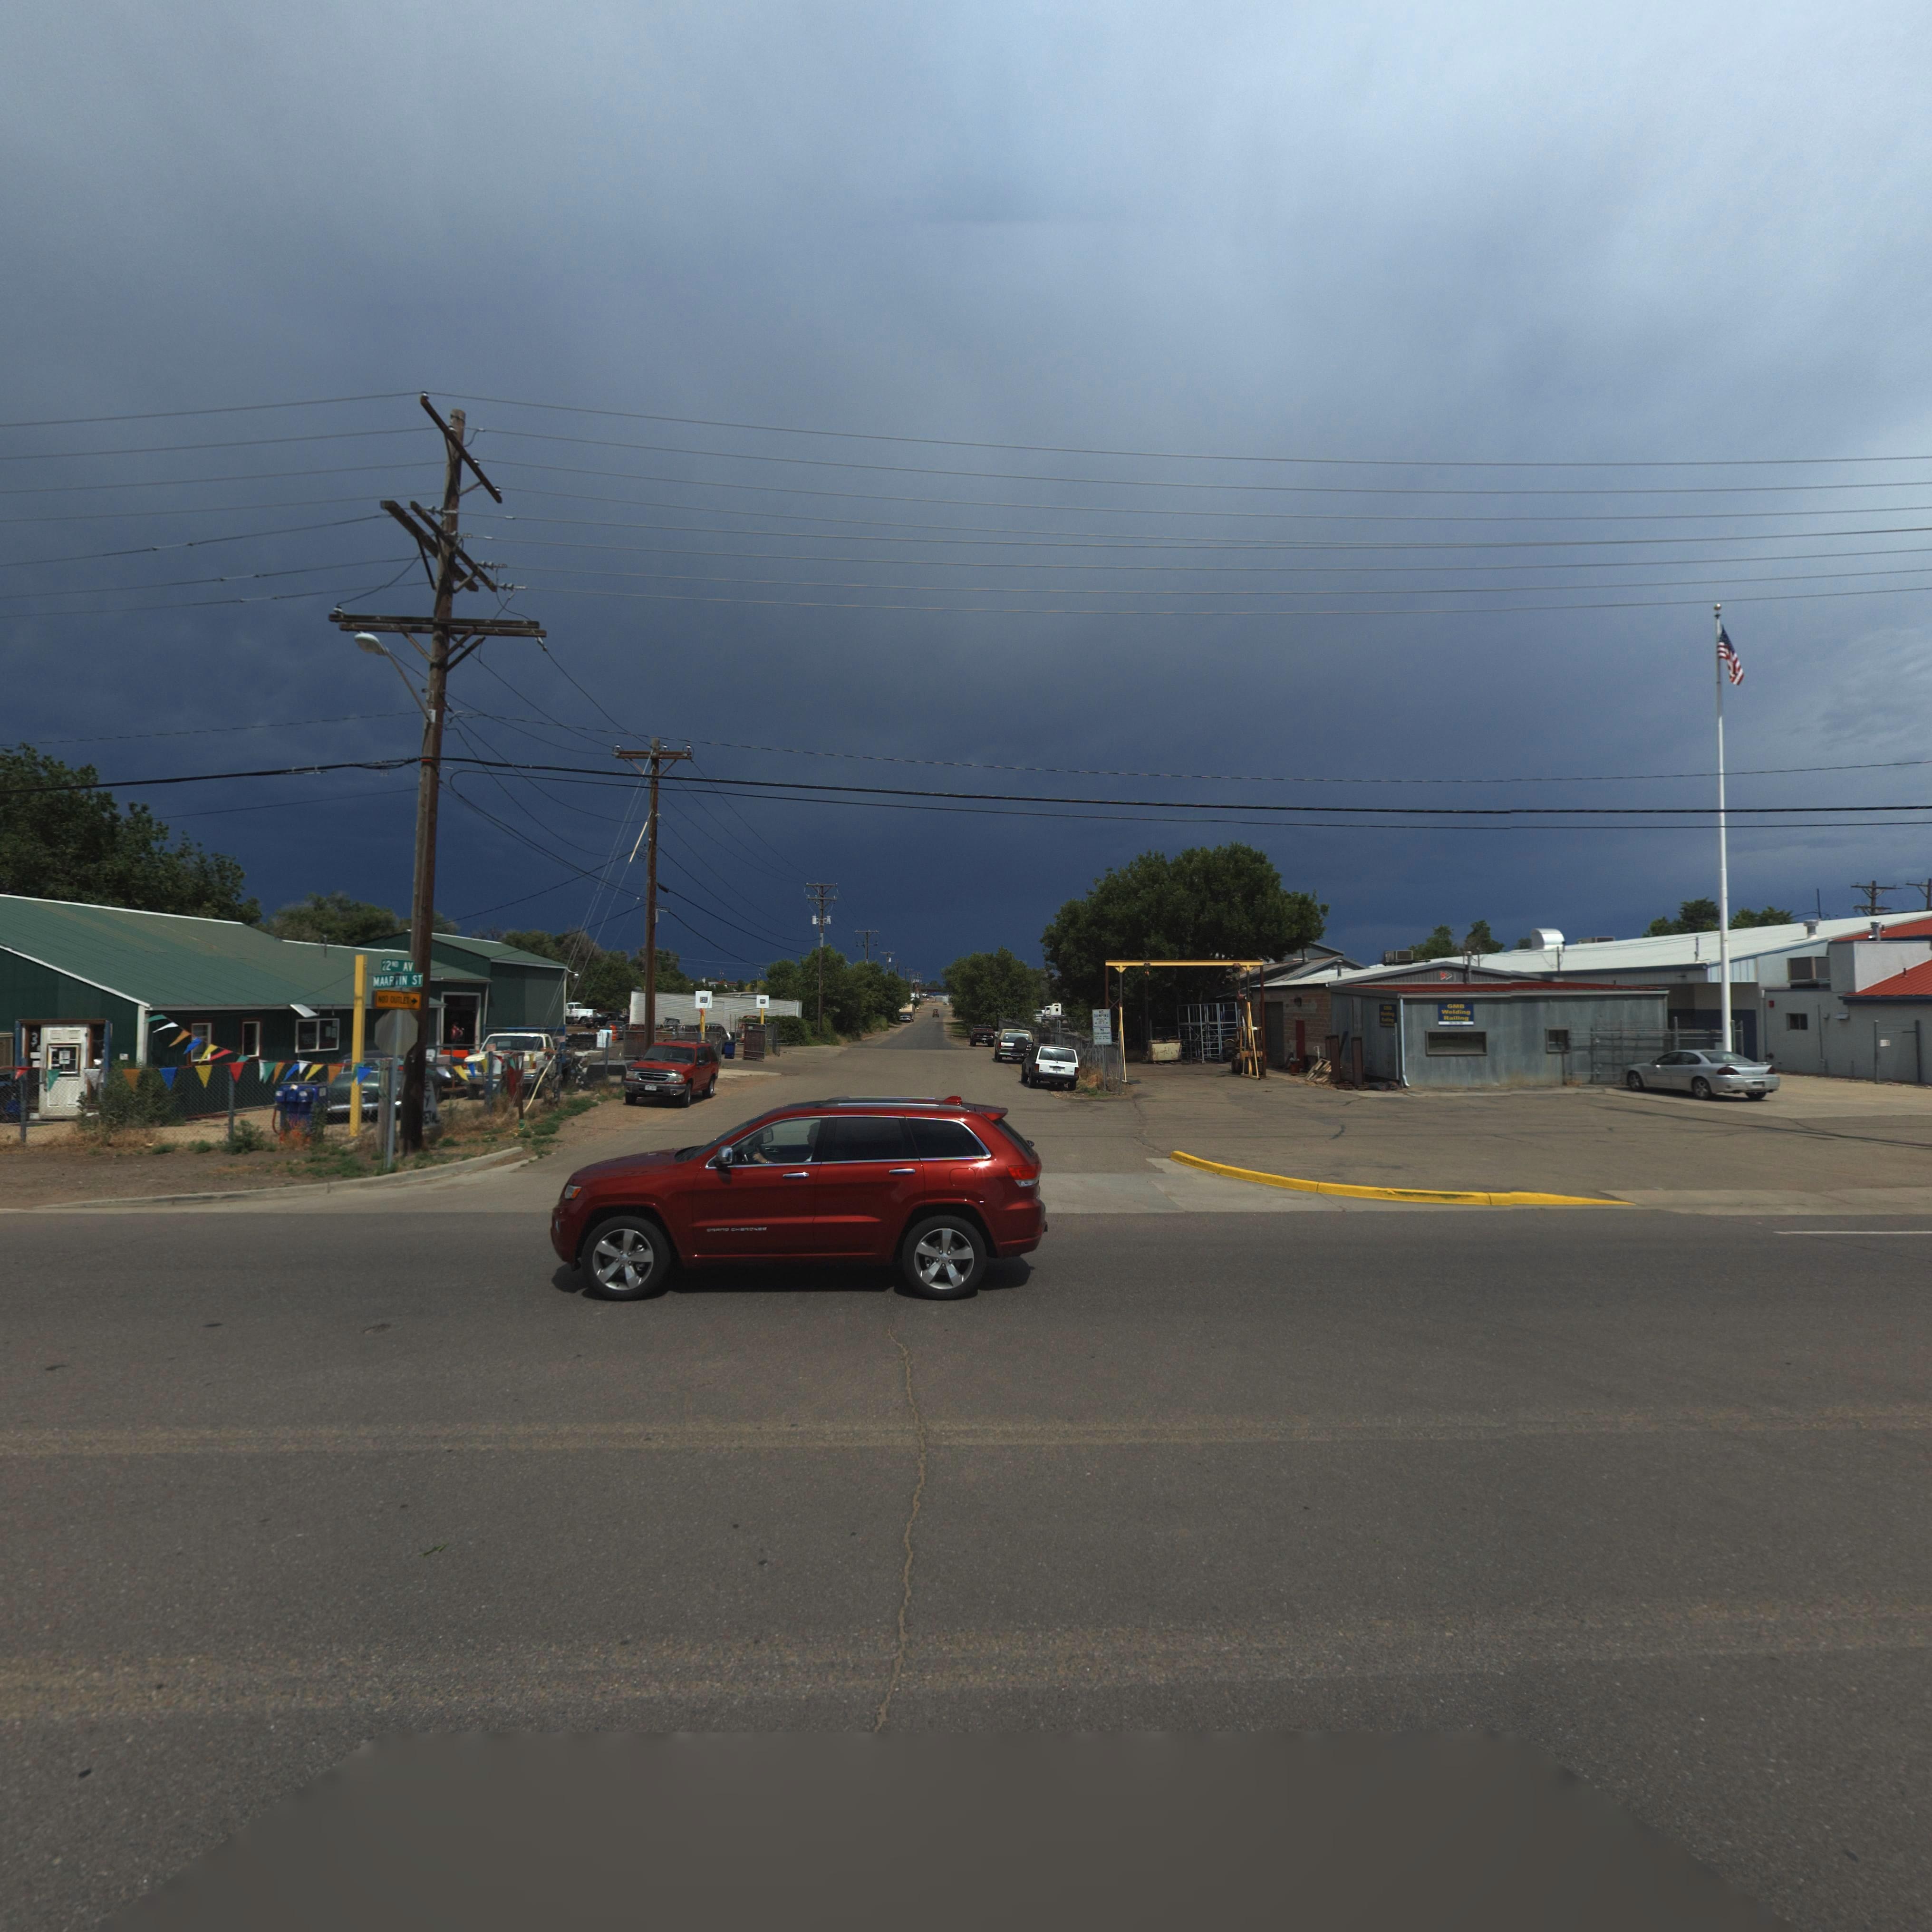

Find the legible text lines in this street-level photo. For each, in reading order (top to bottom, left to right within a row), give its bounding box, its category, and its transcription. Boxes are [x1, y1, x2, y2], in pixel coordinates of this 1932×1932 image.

[385, 959, 414, 971] StreetName: 2ND AV
[372, 974, 422, 987] StreetName: MAARTIN ST
[1447, 1004, 1465, 1008] BusinessName: GMB
[1440, 1009, 1470, 1015] BusinessName: Welding
[1443, 1015, 1469, 1022] BusinessName: Ra*ing